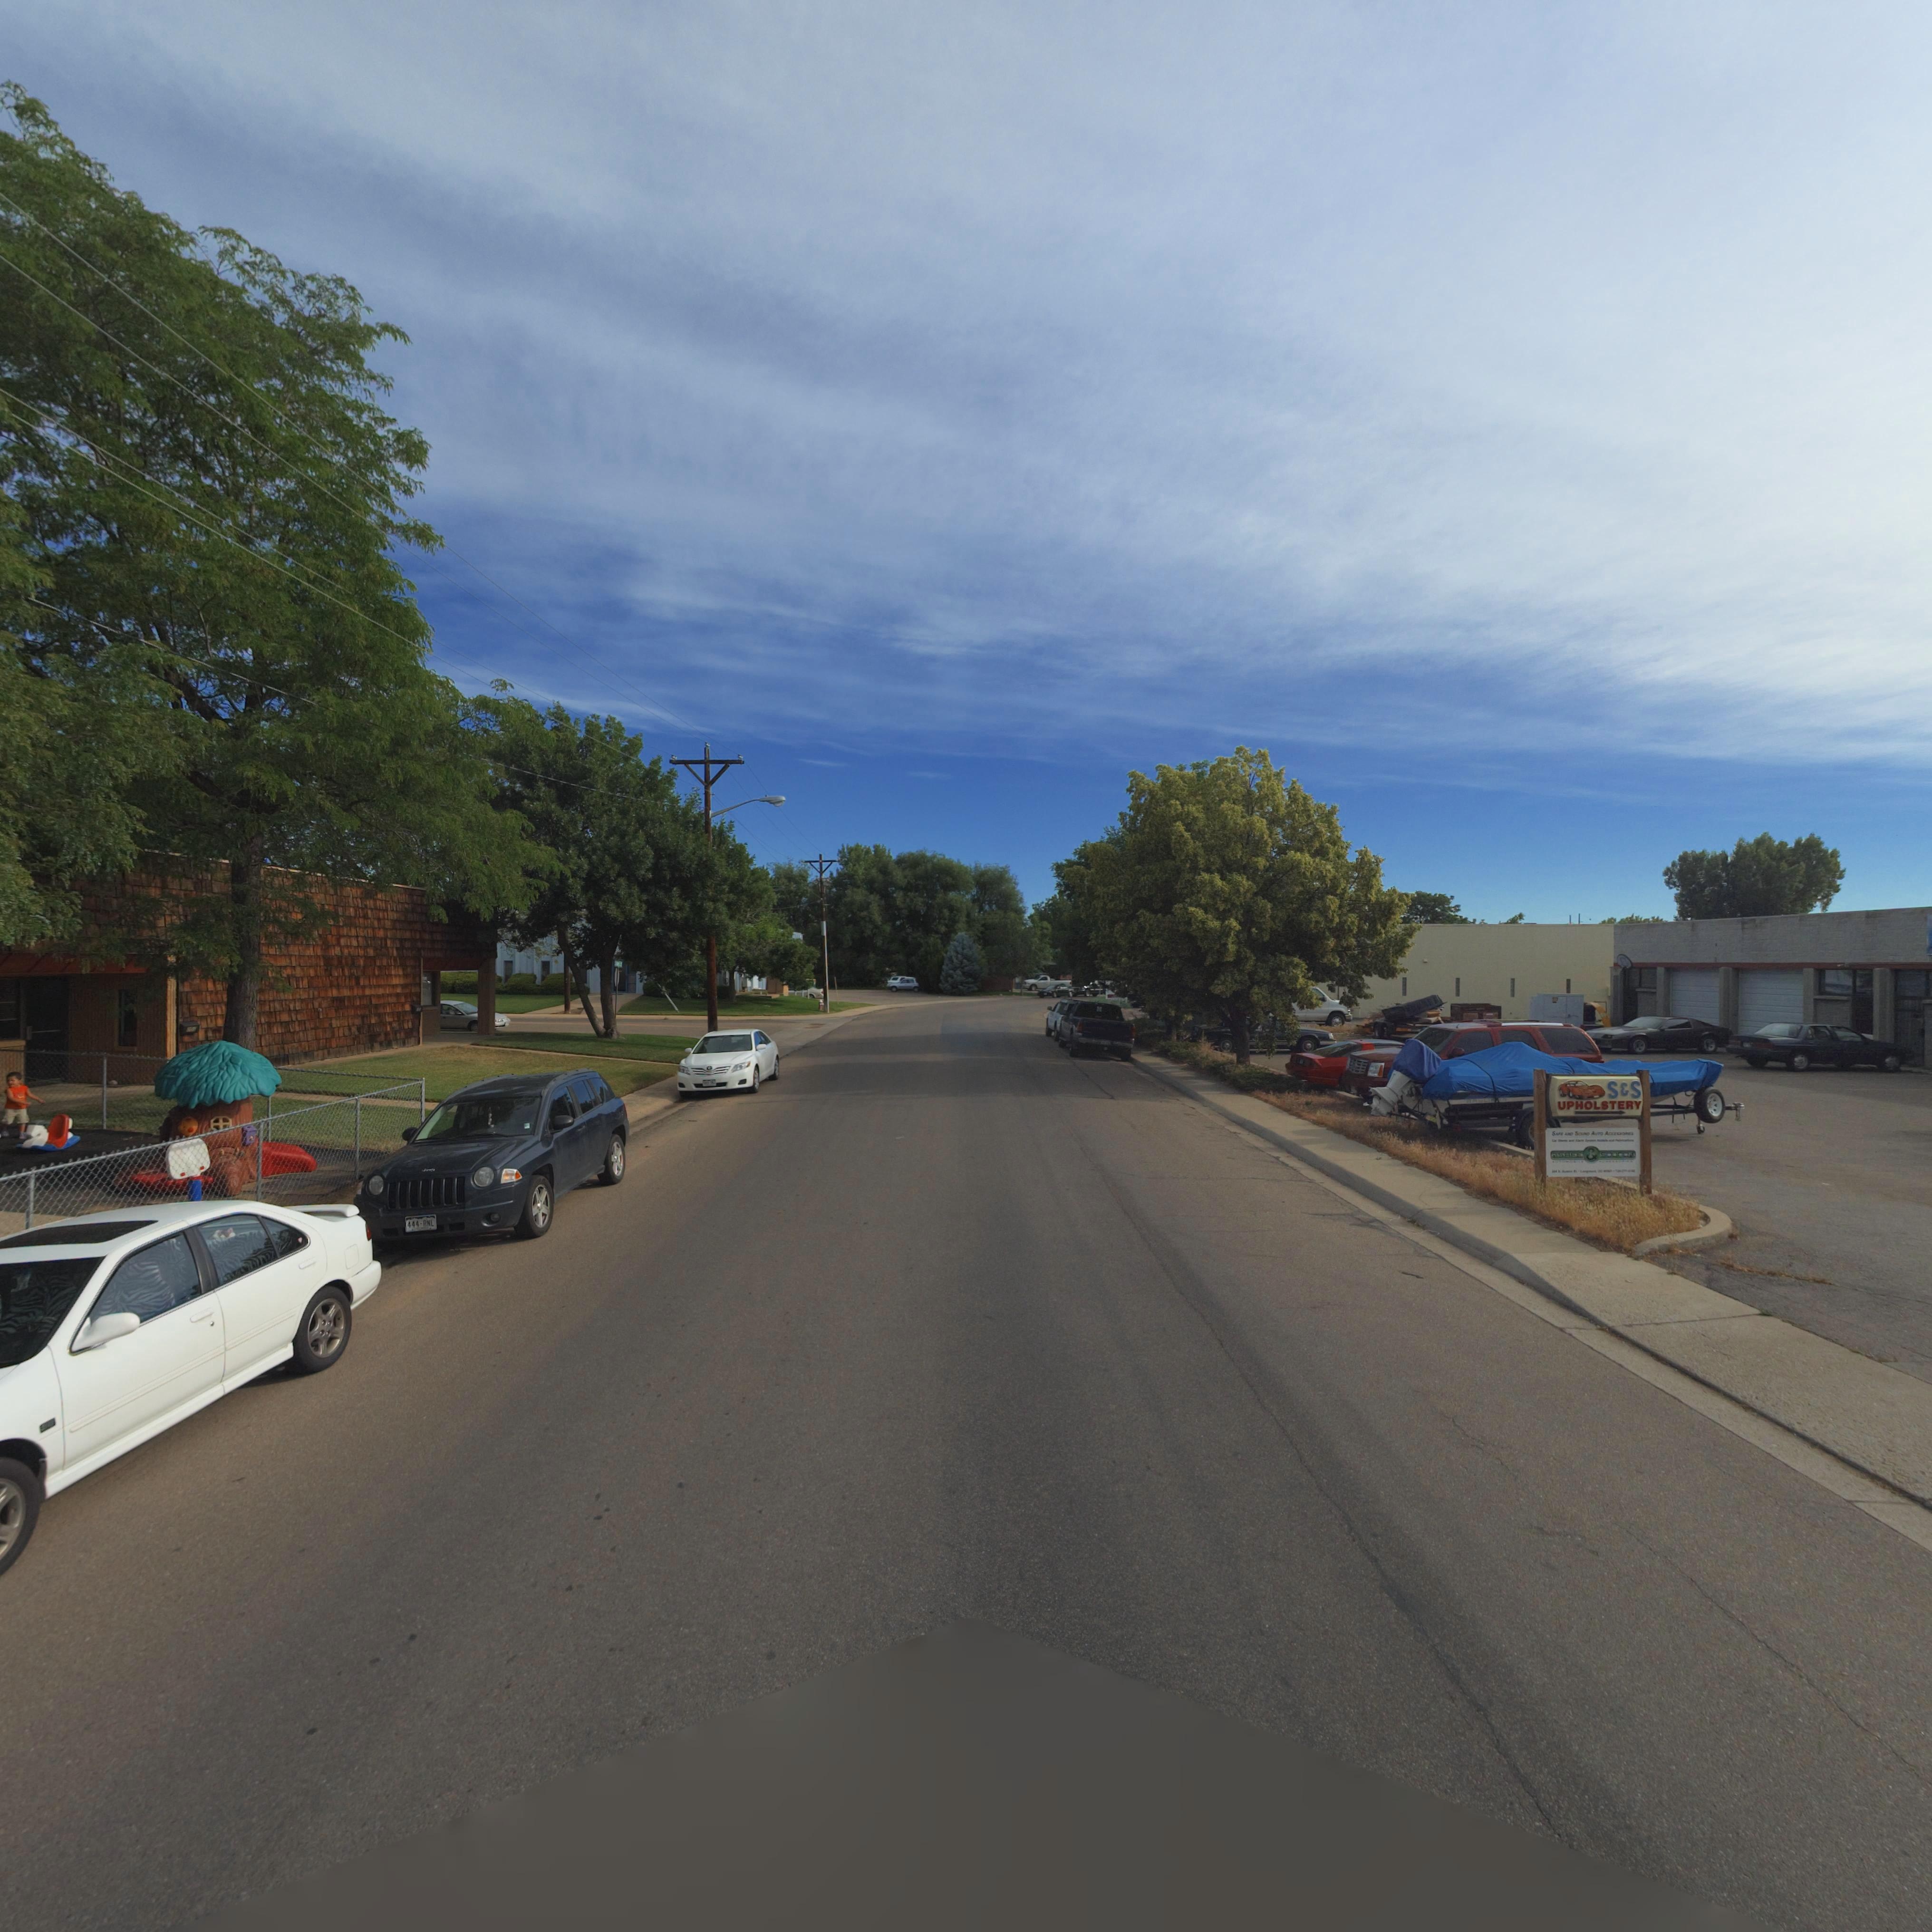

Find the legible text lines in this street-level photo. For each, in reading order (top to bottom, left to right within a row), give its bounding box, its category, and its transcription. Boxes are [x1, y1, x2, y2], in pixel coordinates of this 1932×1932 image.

[1606, 1080, 1642, 1099] BusinessName: S&S
[1556, 1100, 1642, 1111] BusinessName: UPHOLSTERY
[1550, 1130, 1634, 1136] BusinessName: SAFE AND SOUND AUTO ACCESSORIES
[1557, 1147, 1629, 1160] BusinessName: SAFE & SOUND